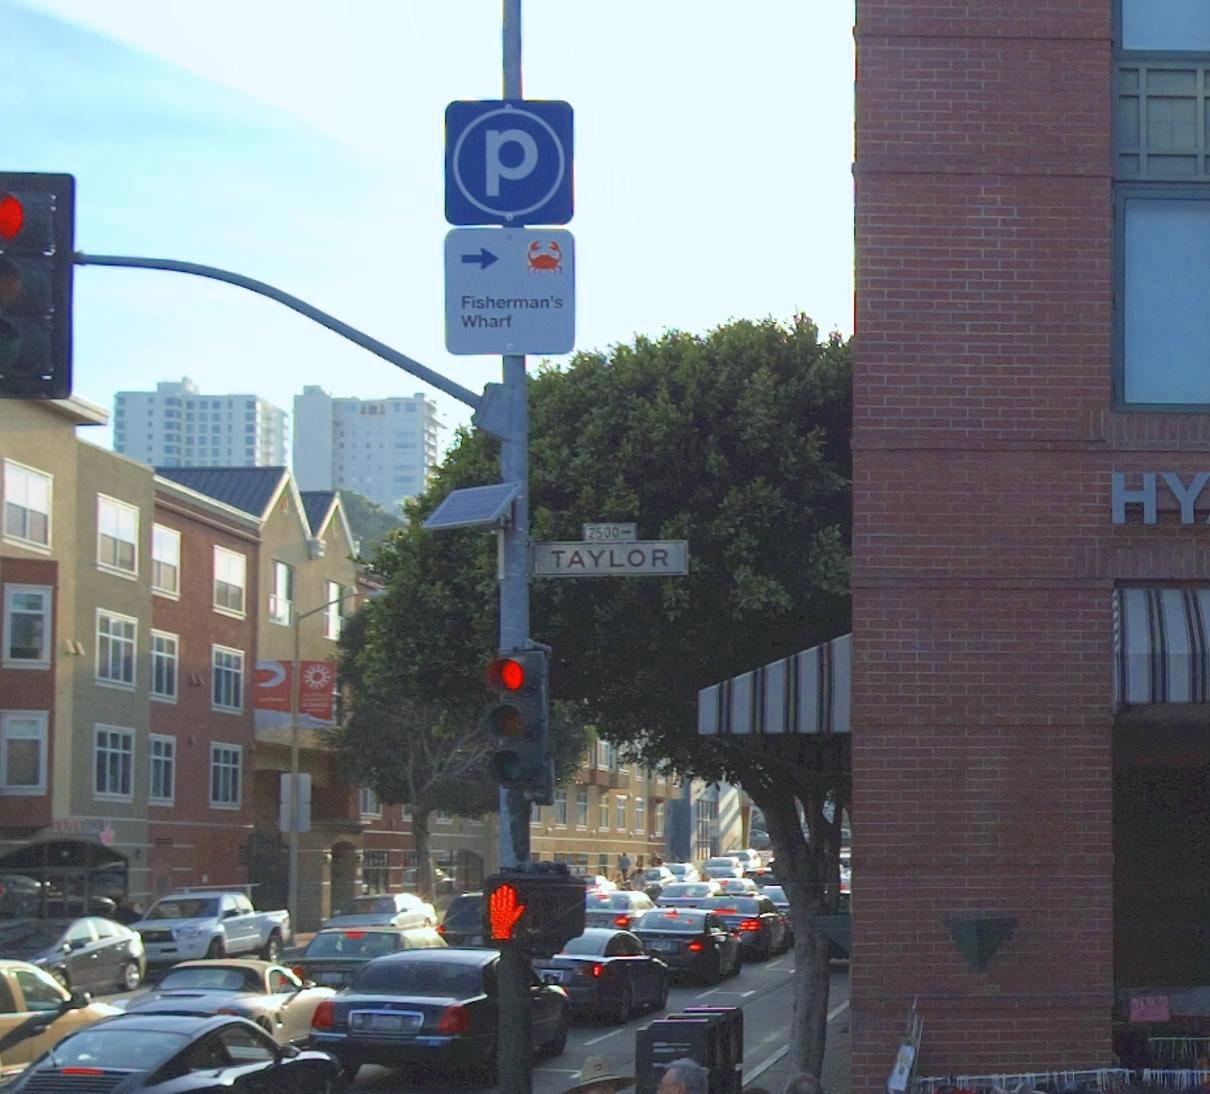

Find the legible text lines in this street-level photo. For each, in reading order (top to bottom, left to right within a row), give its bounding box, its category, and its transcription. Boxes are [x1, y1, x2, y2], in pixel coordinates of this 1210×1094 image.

[480, 122, 541, 200] None: P
[458, 292, 566, 312] None: Fisherman's
[458, 312, 517, 330] None: Wharf
[1107, 467, 1210, 528] BusinessName: HY
[586, 522, 634, 540] StreetNumberRange: 2500->
[548, 547, 672, 570] StreetName: TAYLOR